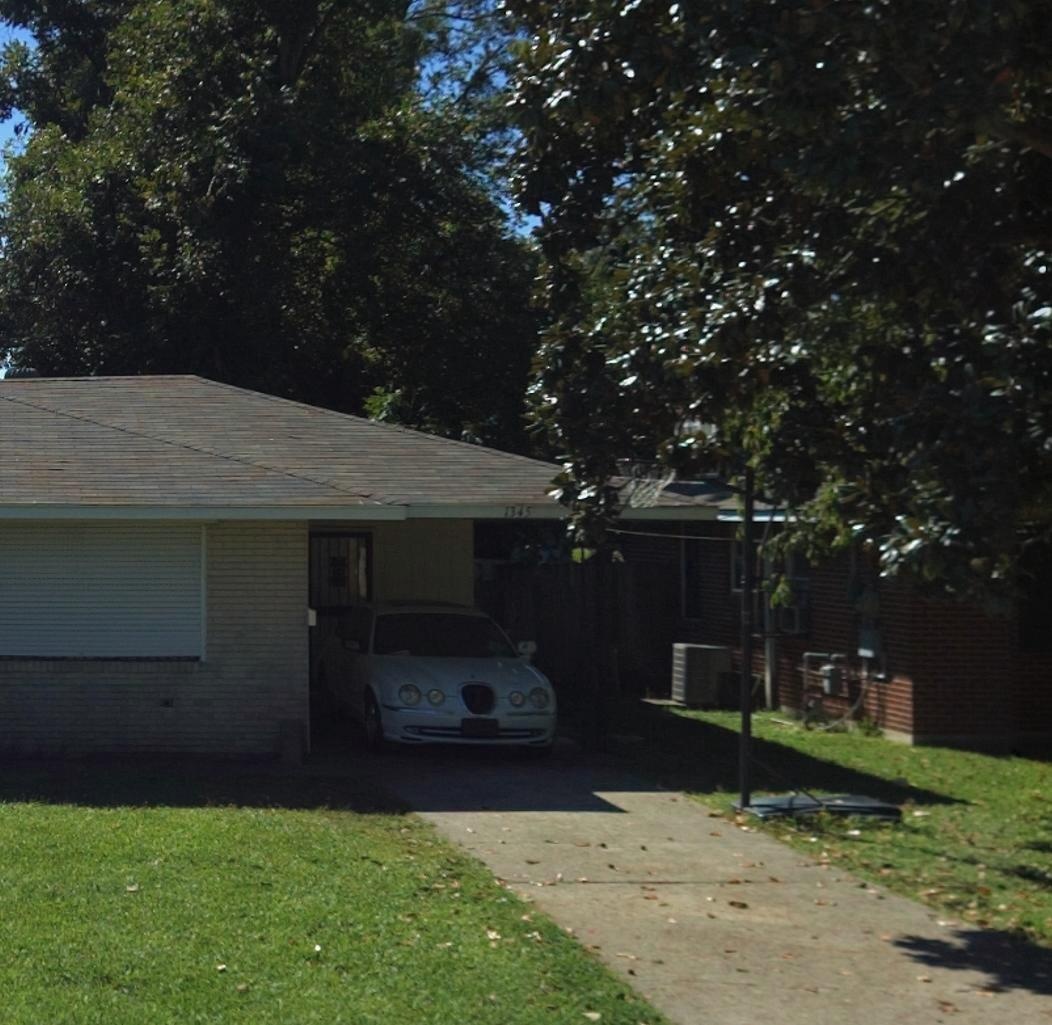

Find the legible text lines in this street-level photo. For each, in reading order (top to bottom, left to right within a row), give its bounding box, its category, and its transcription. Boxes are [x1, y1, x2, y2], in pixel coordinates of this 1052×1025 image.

[503, 505, 533, 519] StreetNumber: 1345